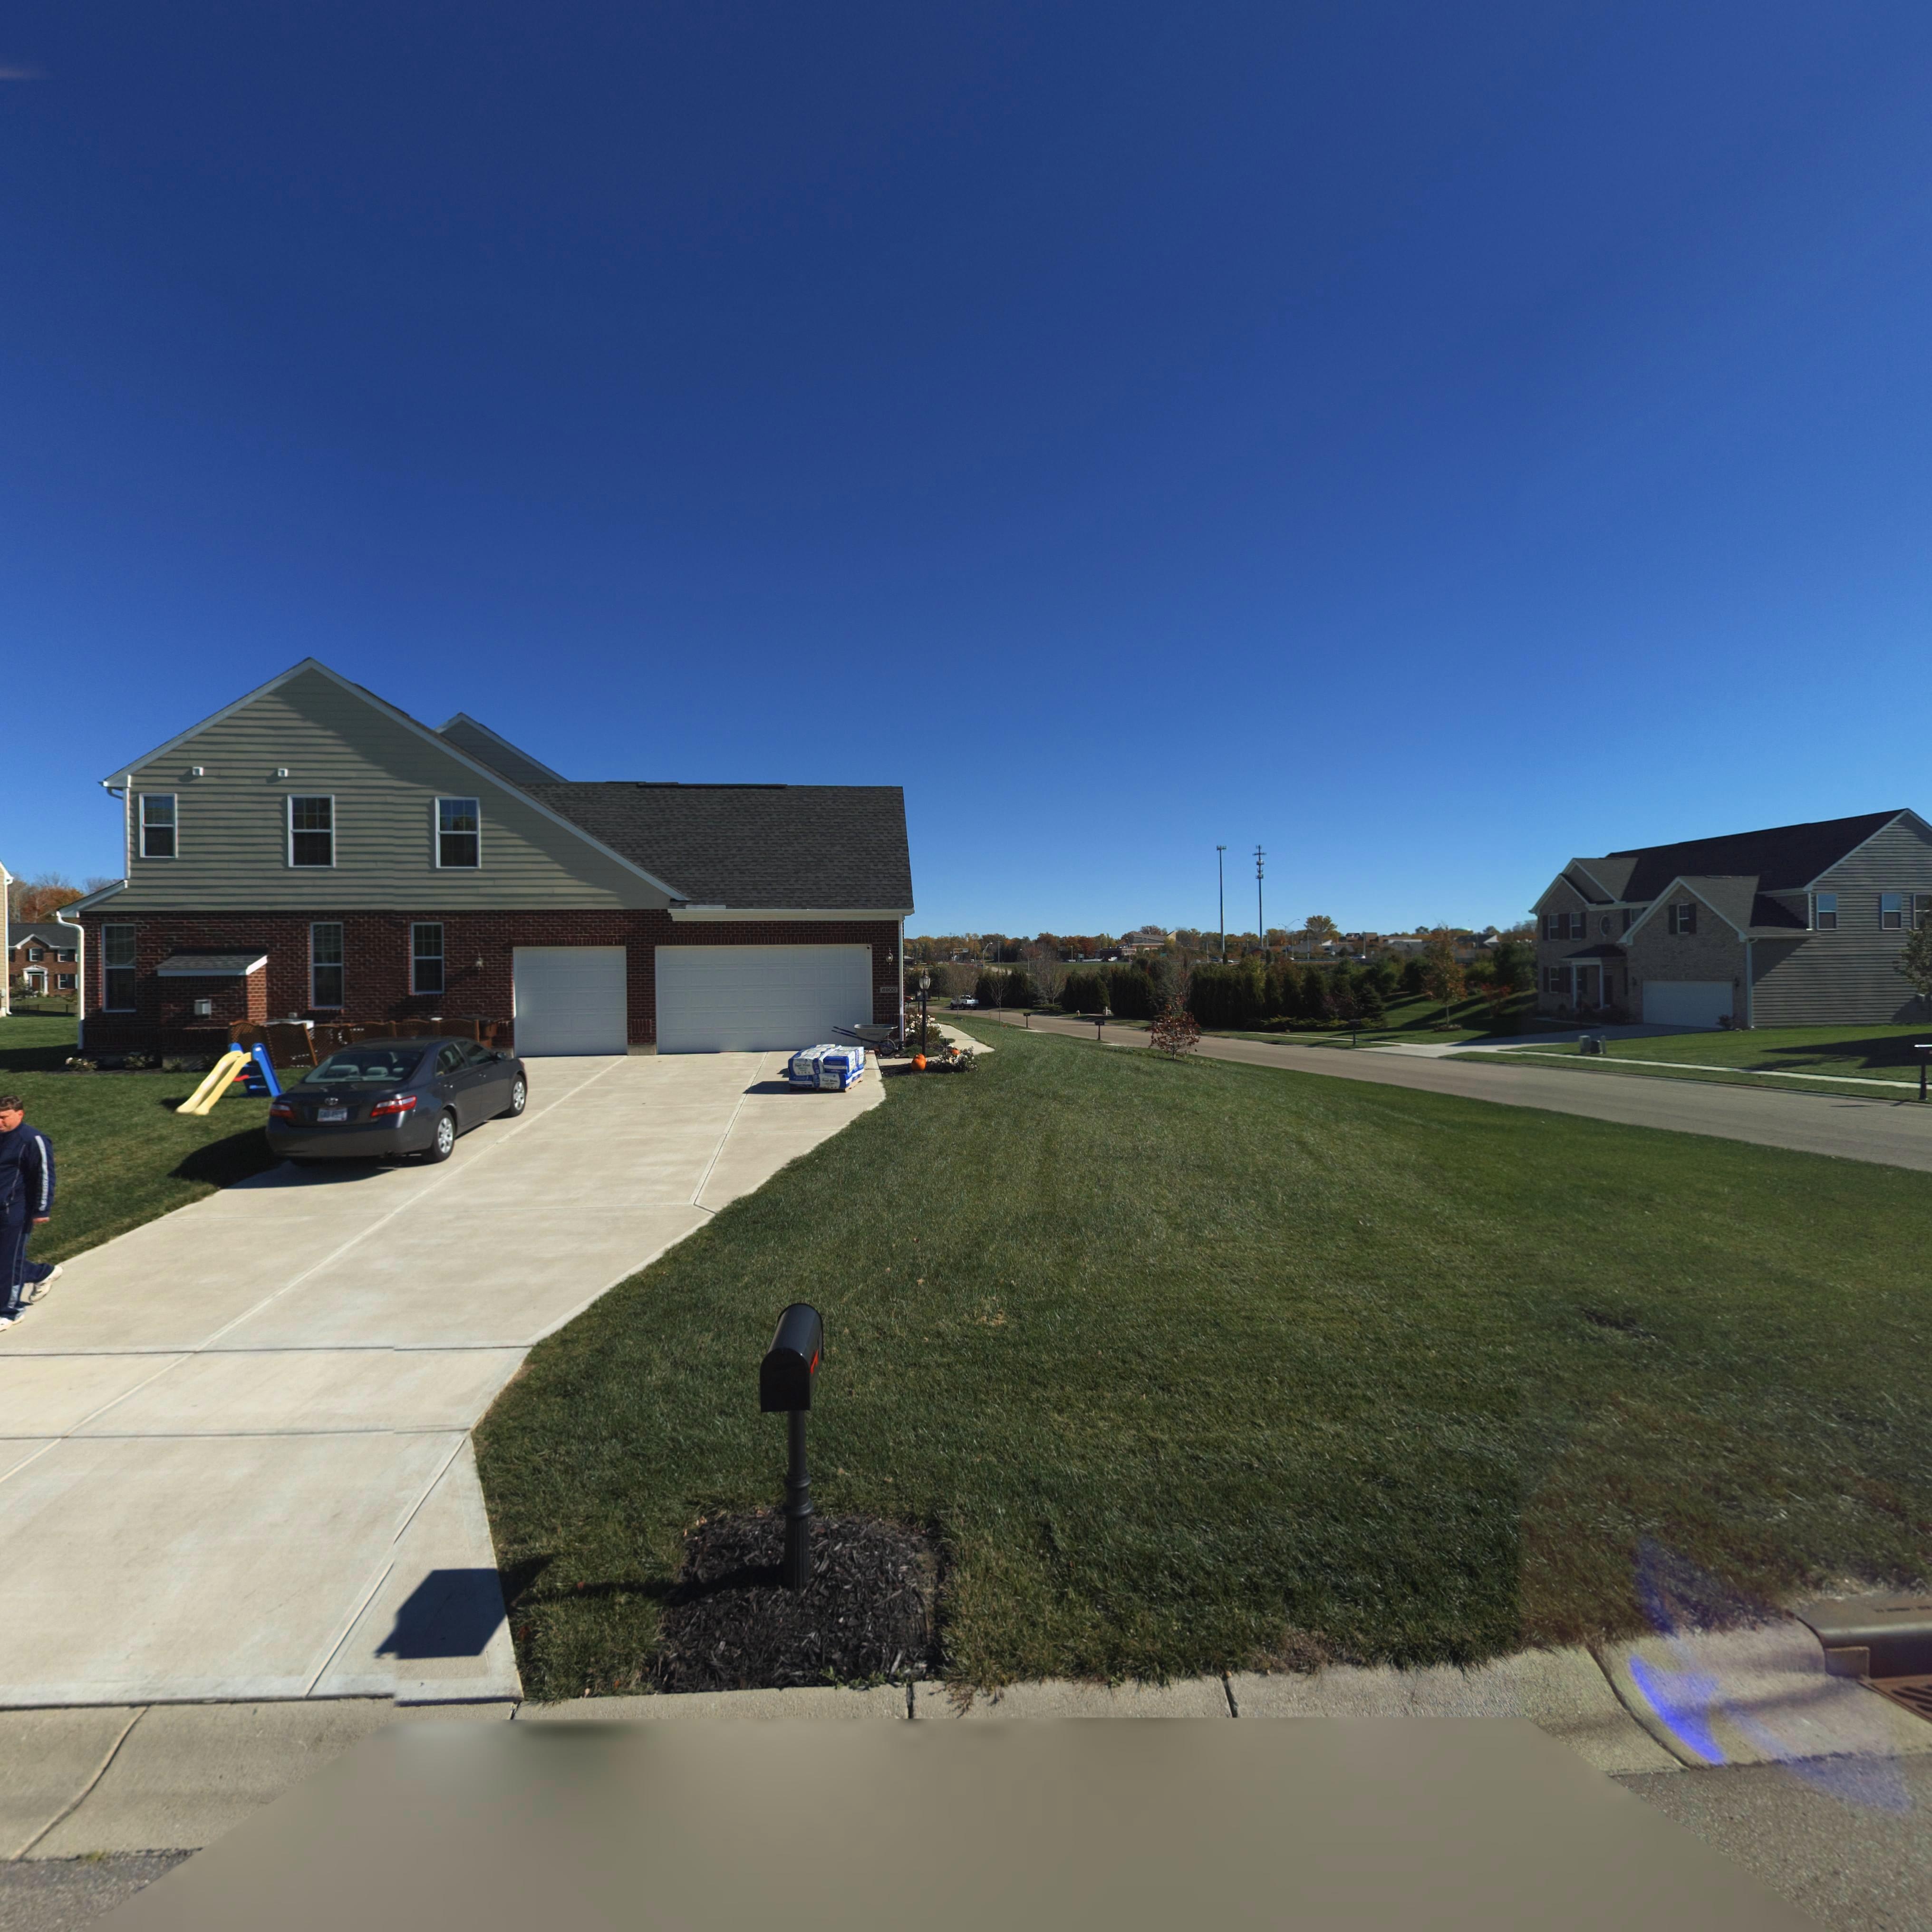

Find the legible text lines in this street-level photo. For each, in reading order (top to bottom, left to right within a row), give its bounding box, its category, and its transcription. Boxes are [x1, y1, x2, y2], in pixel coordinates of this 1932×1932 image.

[881, 987, 897, 993] StreetNumber: 6900